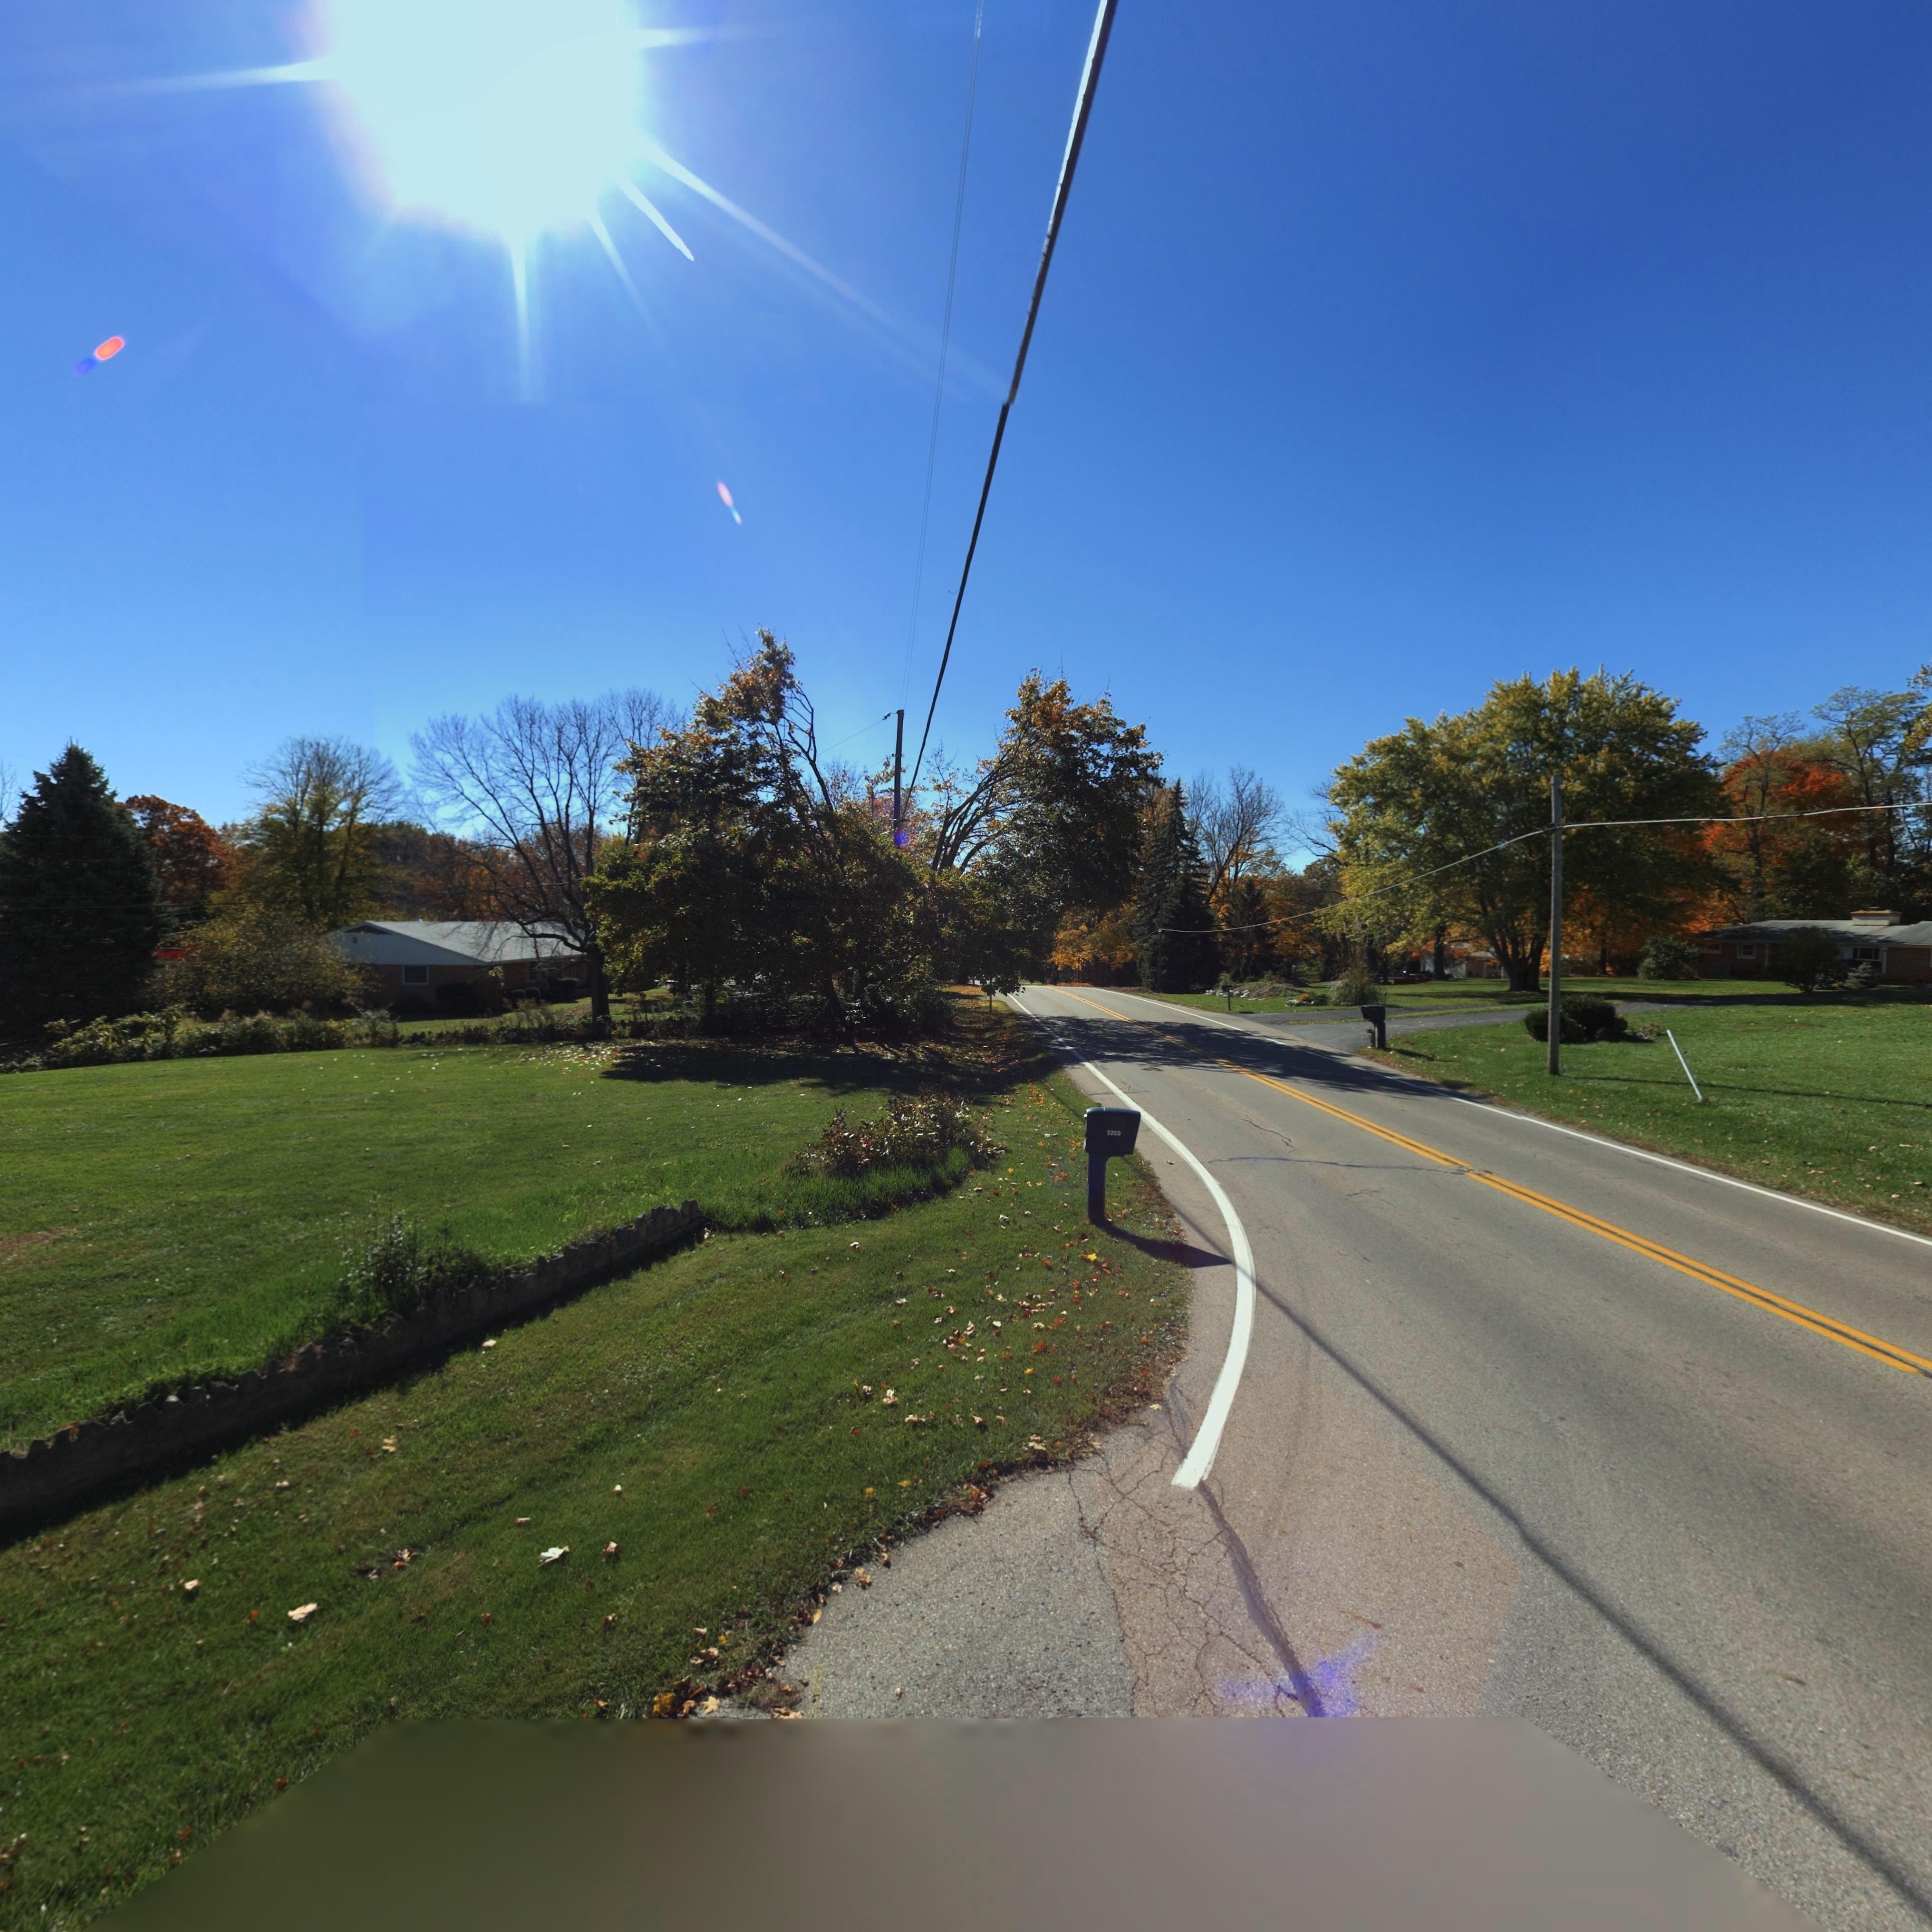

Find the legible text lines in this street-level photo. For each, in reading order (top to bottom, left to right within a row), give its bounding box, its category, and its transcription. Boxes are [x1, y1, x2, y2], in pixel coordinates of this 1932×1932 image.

[1106, 1129, 1122, 1137] StreetNumber: 5200